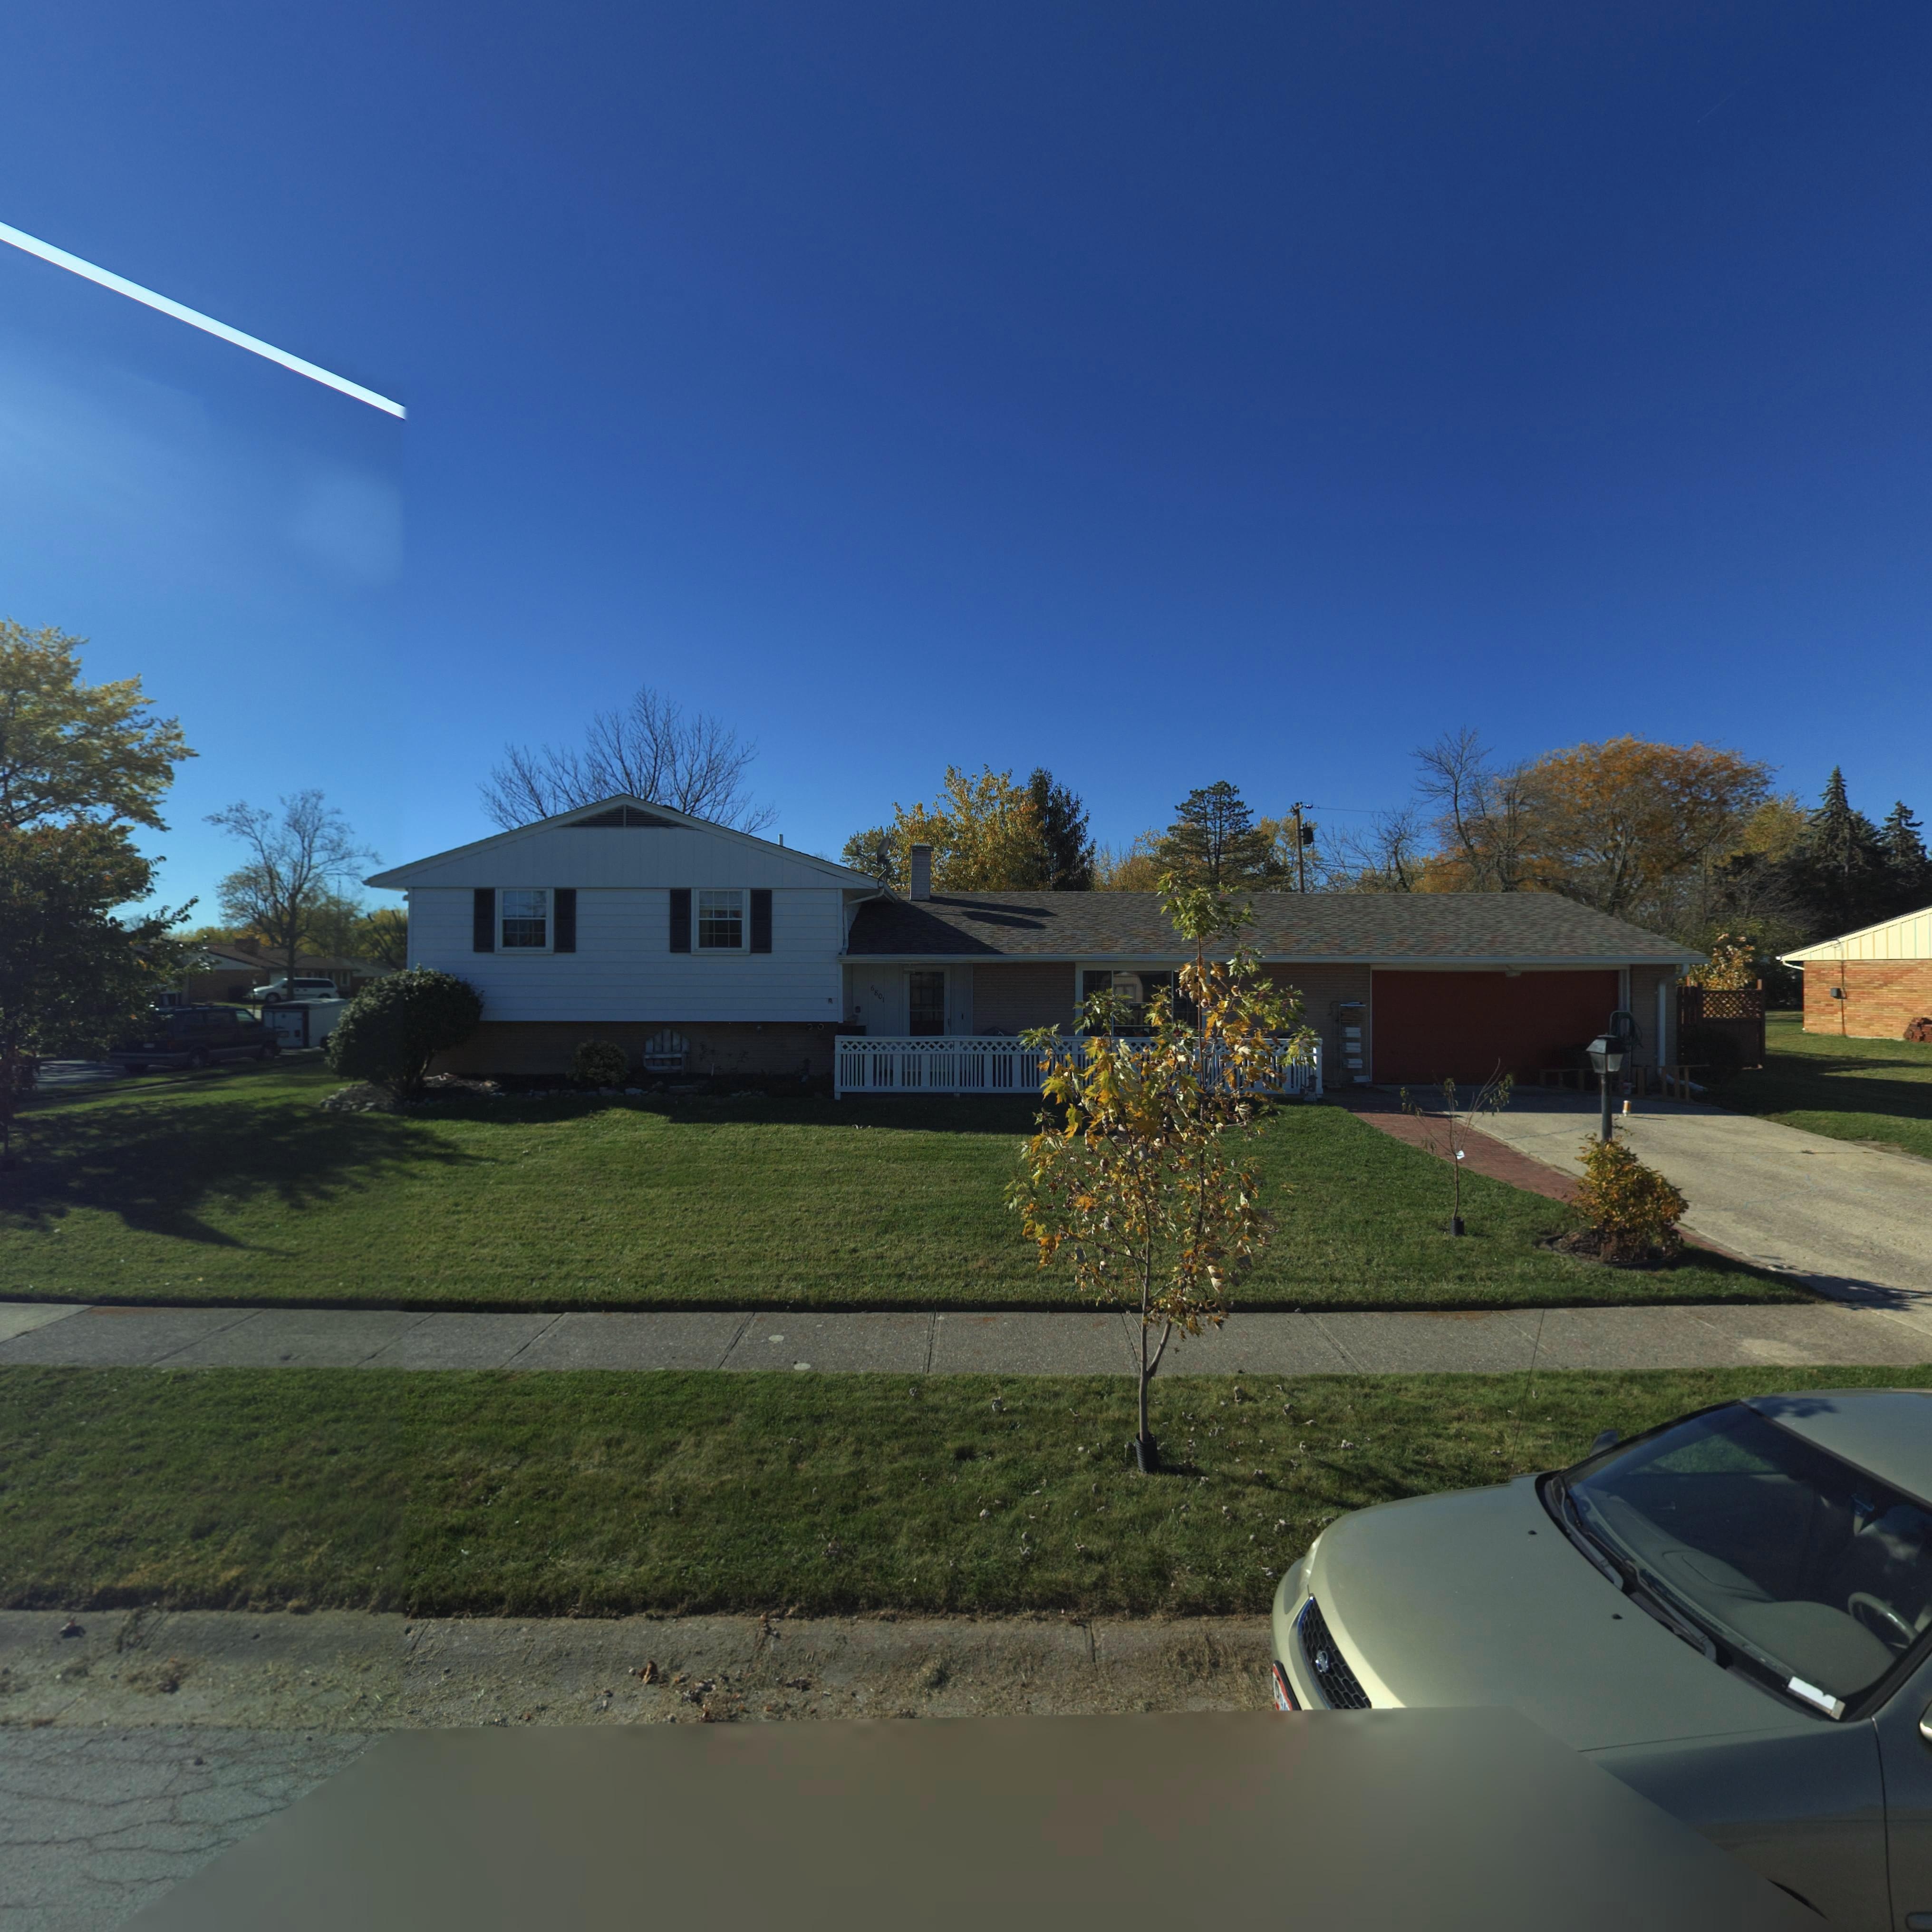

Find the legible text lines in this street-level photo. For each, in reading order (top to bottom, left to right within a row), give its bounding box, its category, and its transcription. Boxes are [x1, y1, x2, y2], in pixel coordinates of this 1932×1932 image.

[870, 984, 885, 1004] StreetNumber: 6801